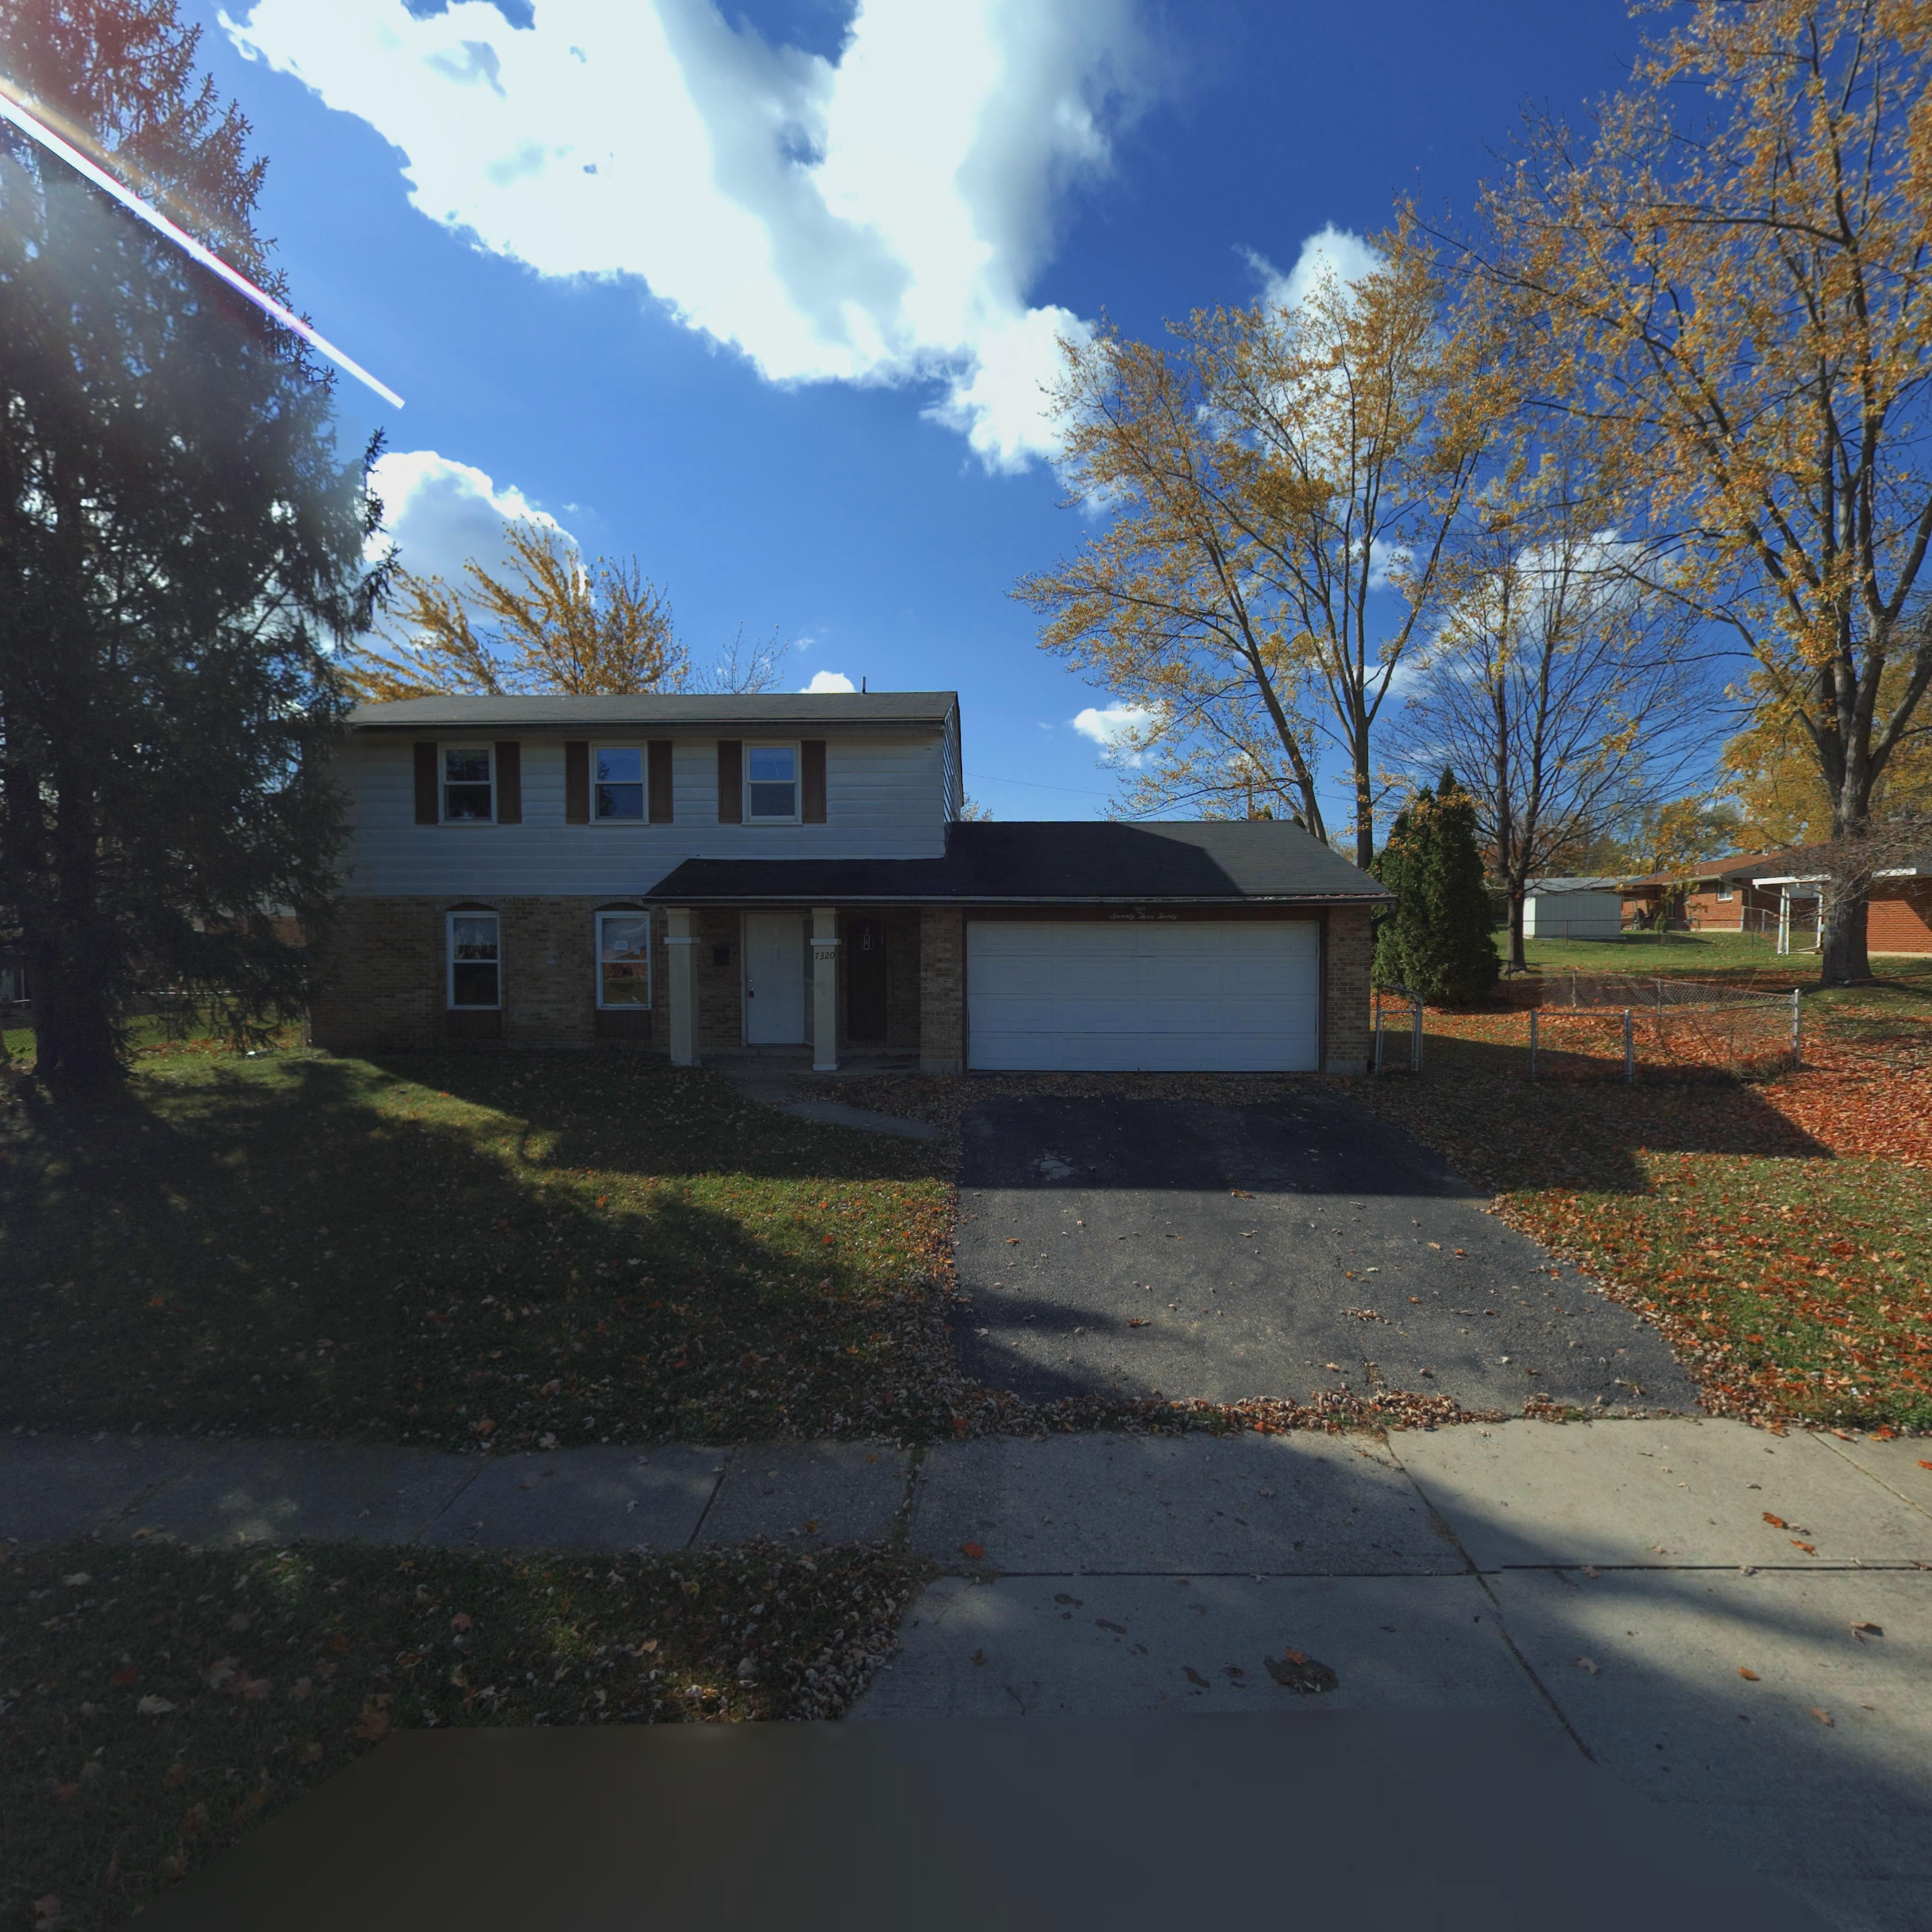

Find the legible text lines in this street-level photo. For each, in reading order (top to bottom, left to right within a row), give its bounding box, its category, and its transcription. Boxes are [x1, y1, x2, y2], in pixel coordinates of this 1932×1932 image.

[813, 950, 836, 961] StreetNumber: 7320